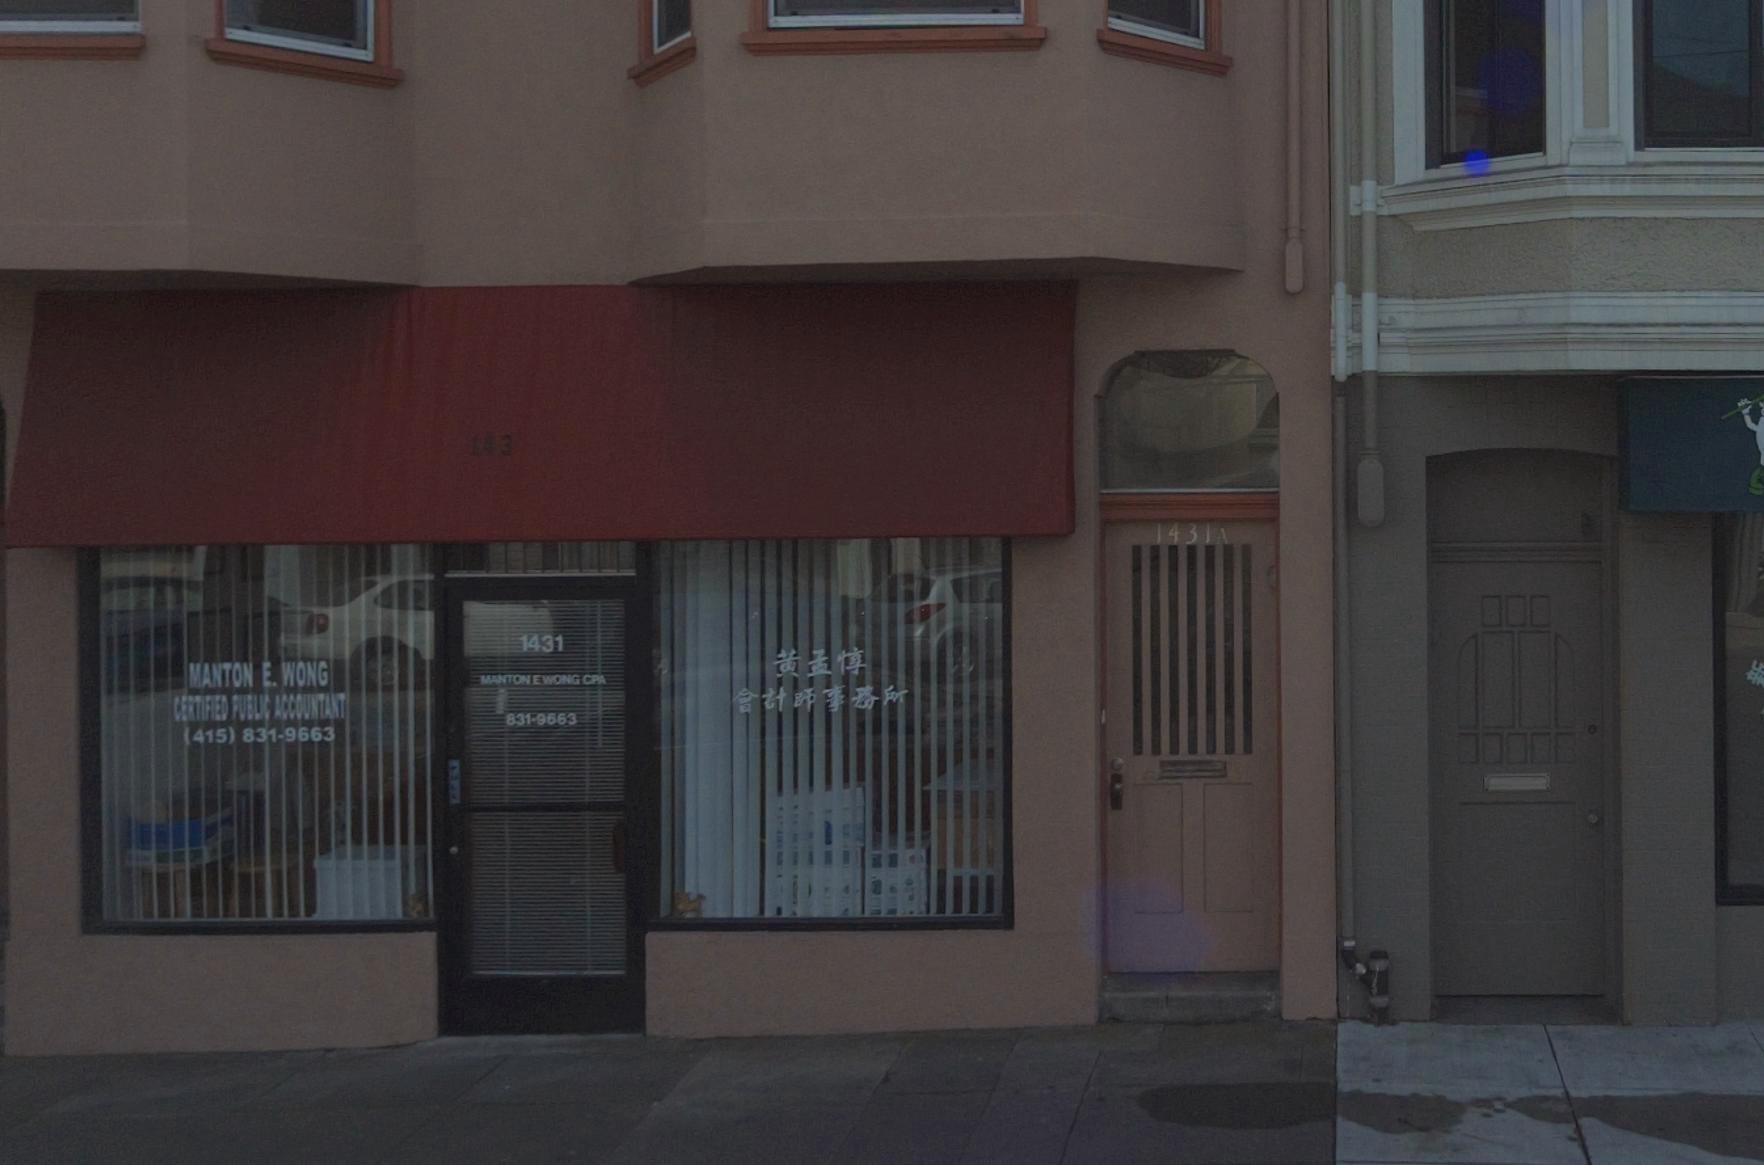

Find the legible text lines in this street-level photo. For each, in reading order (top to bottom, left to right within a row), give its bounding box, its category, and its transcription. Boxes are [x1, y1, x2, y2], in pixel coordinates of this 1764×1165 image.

[467, 433, 514, 458] StreetNumber: 143
[1155, 520, 1229, 546] StreetNumber: 1431A
[518, 633, 565, 653] StreetNumber: 1431
[188, 660, 329, 689] BusinessName: MANTON E. WONG
[479, 674, 608, 686] BusinessName: MATON E WONG CPA
[172, 692, 347, 723] BusinessName: CERTIFIED PUBLIC ACCOUNTANT
[504, 712, 578, 726] None: 831-9563
[181, 725, 337, 747] None: (415) 831-9663